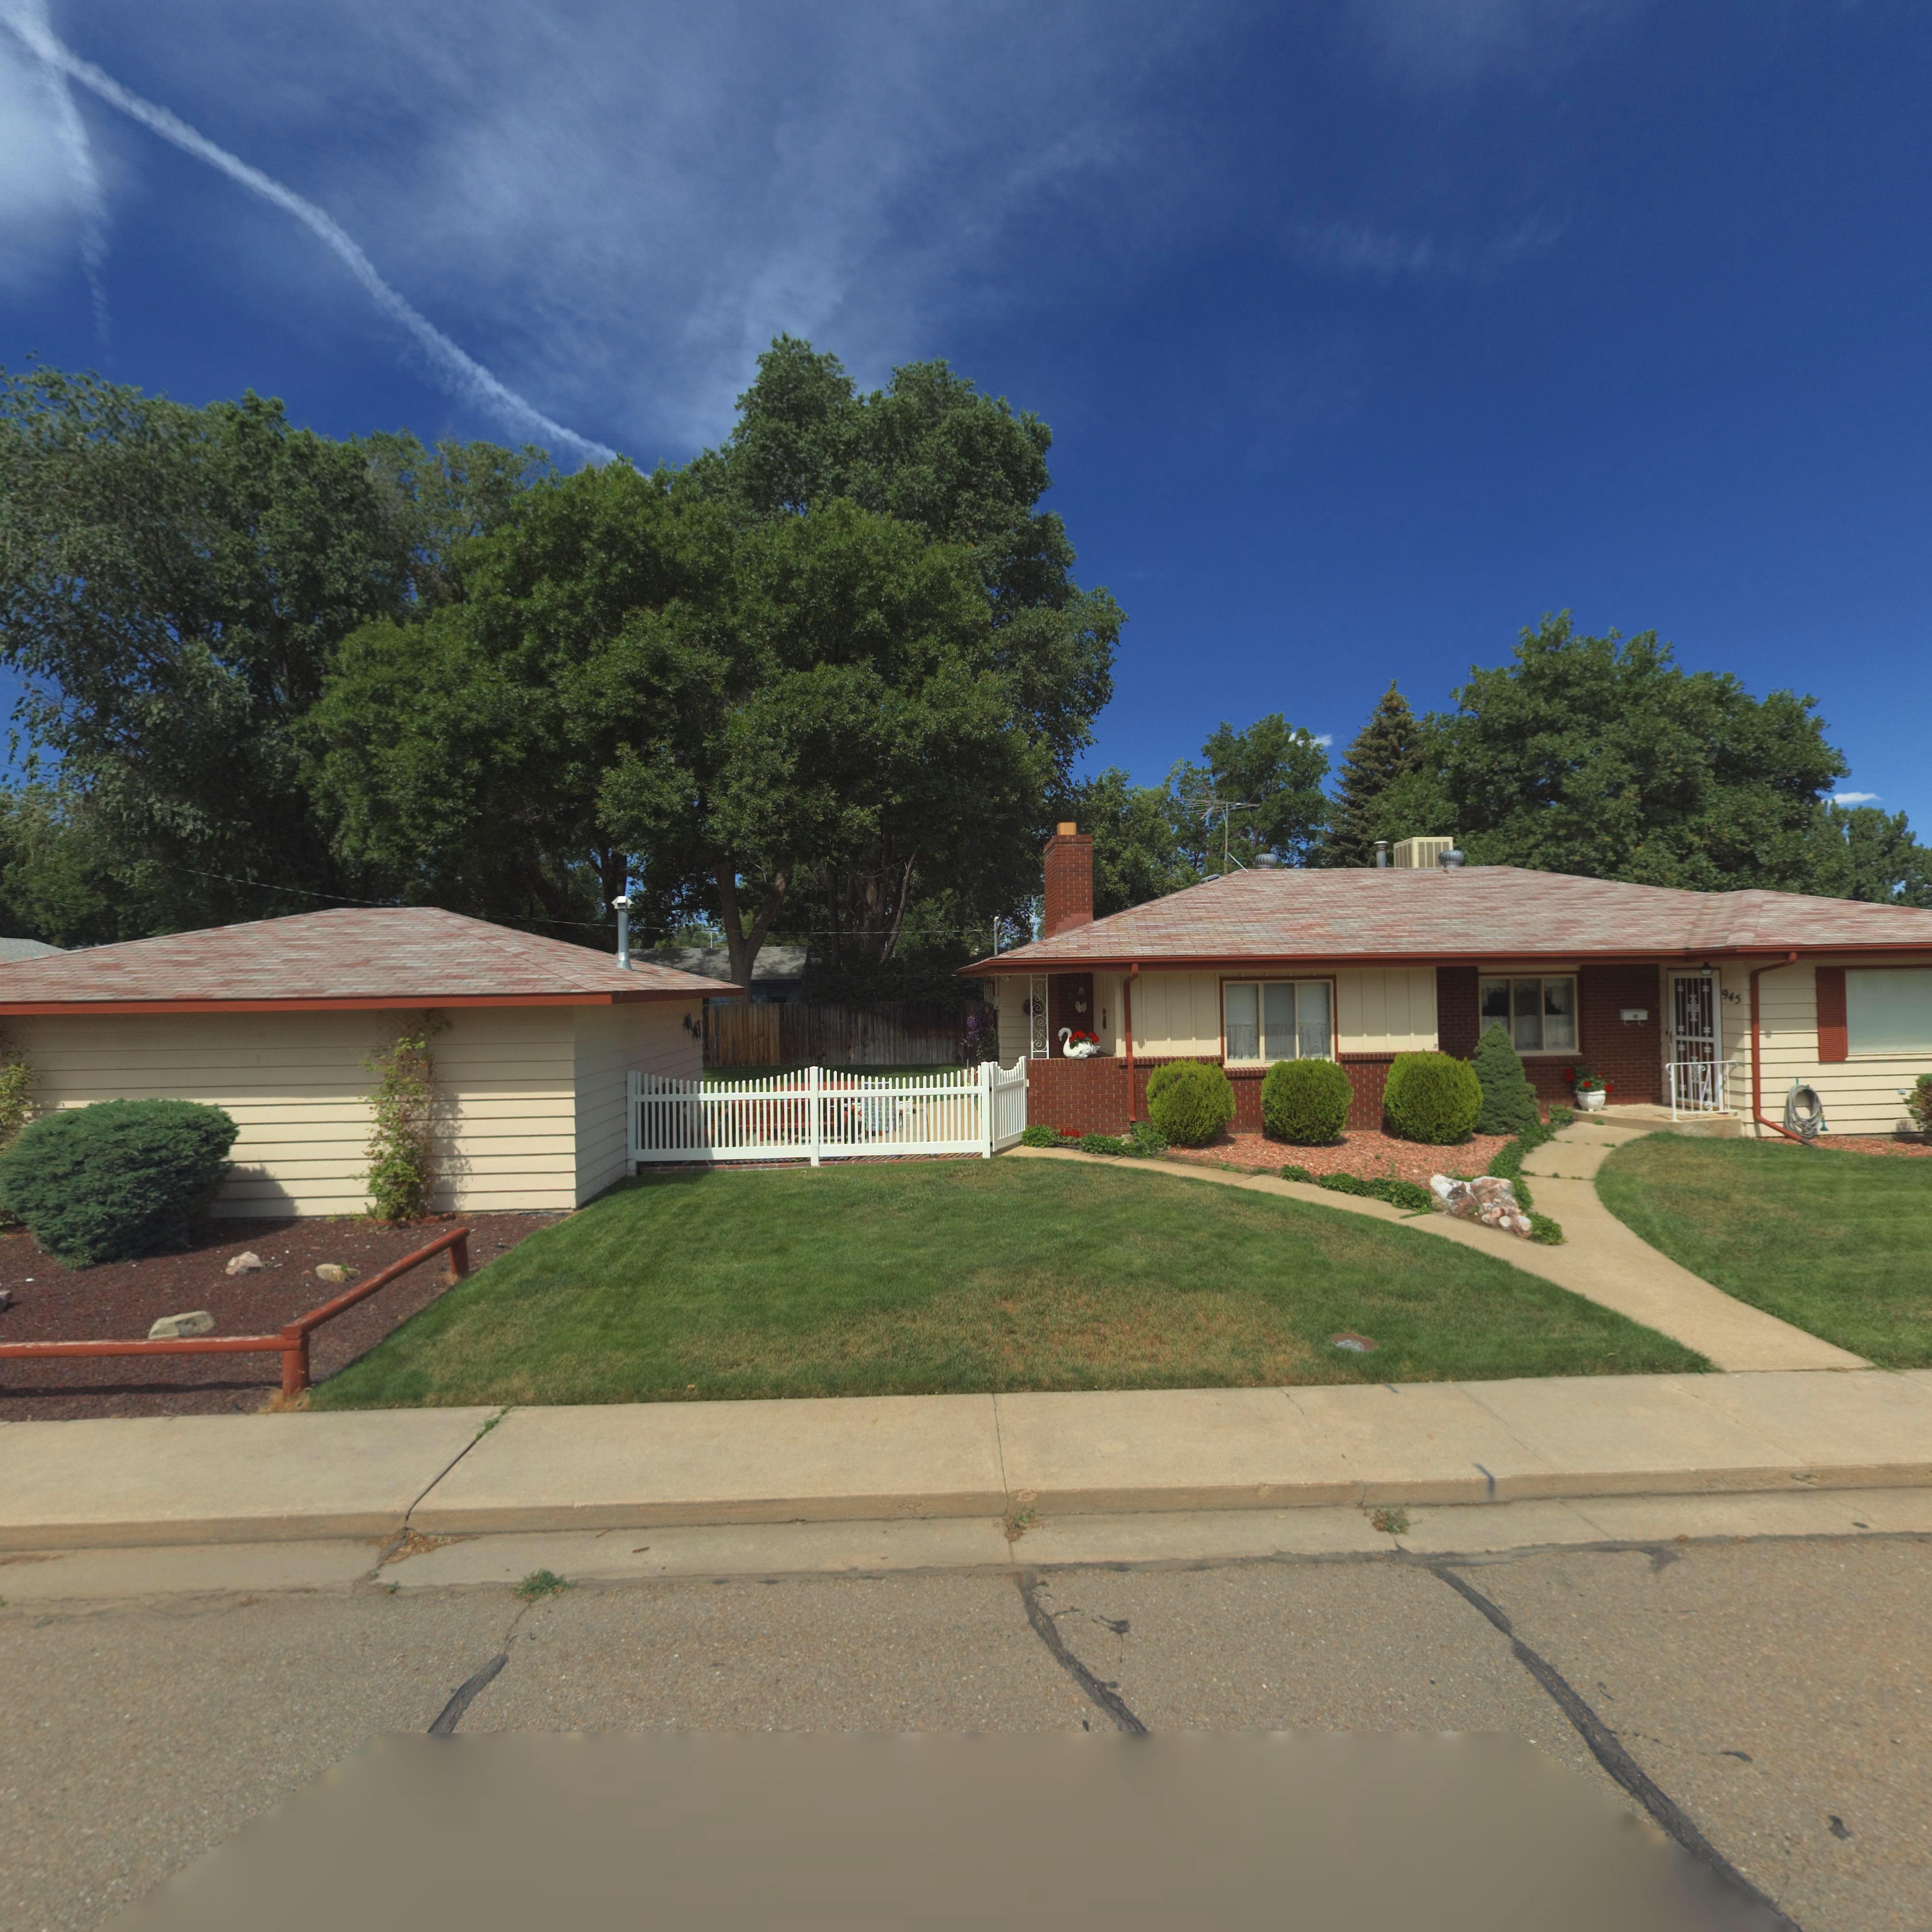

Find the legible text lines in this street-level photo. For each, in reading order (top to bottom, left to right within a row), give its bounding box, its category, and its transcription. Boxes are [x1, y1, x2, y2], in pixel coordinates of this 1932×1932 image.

[1722, 989, 1740, 1004] StreetNumber: 945